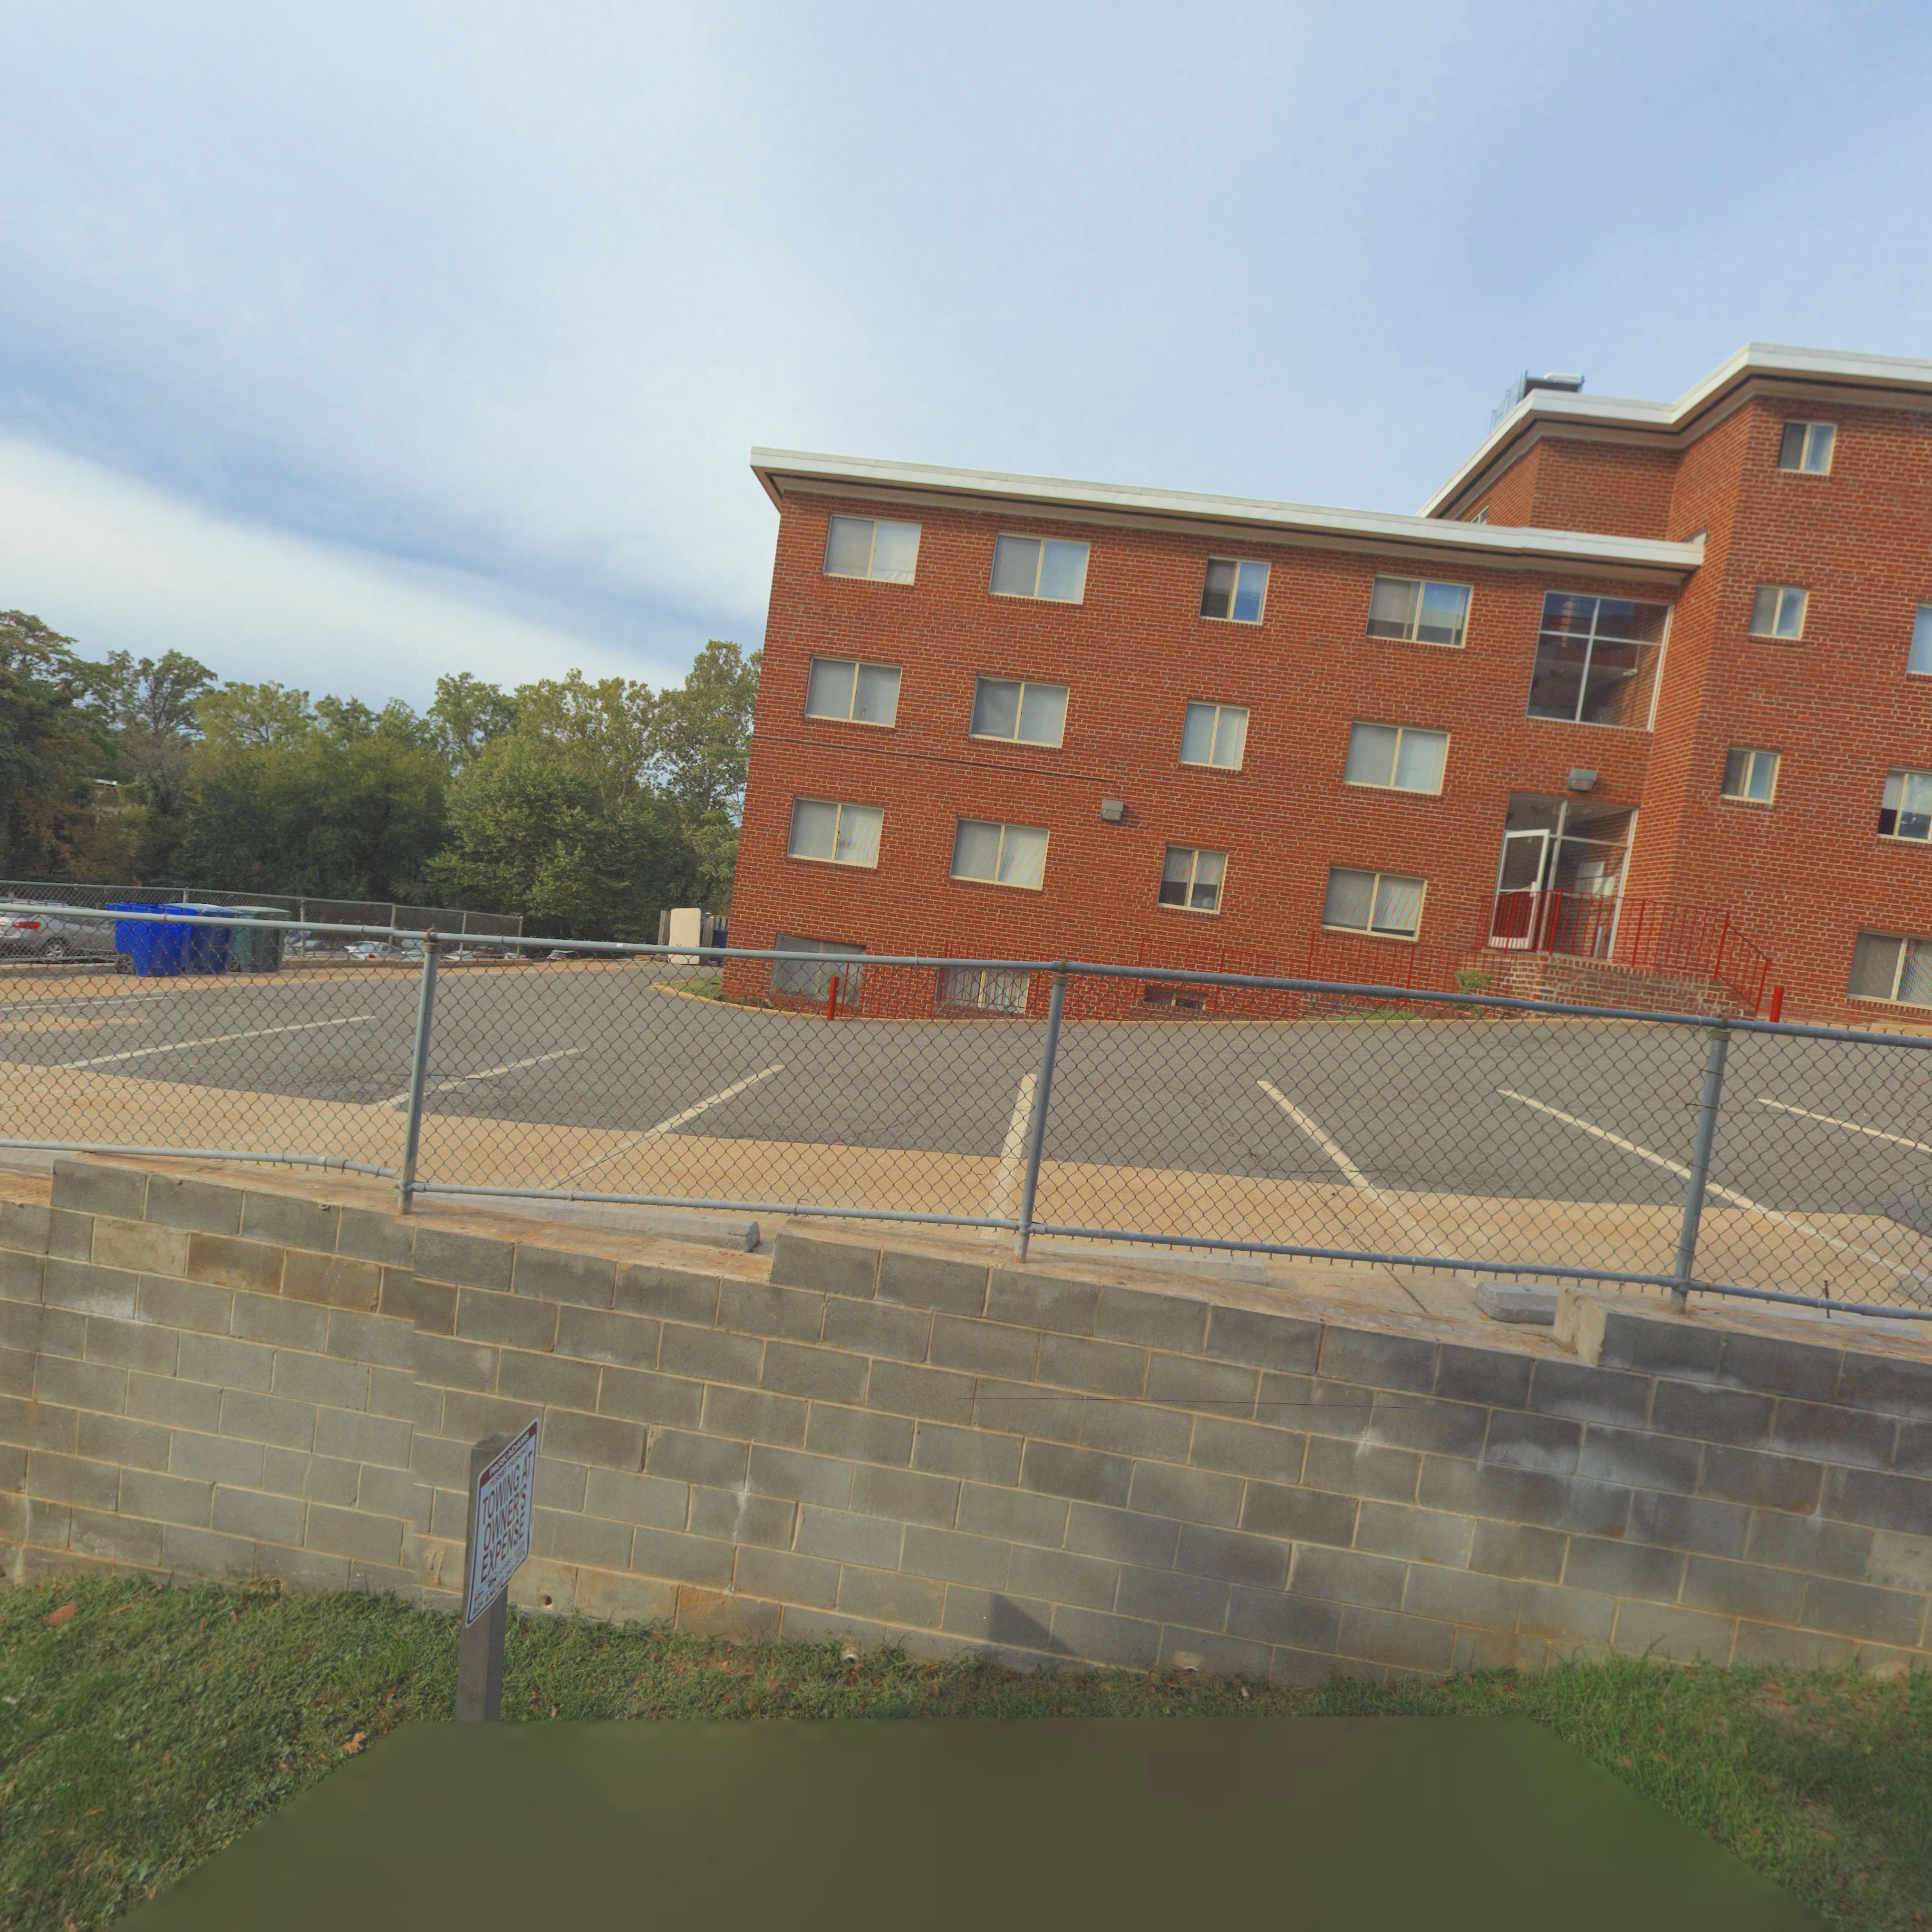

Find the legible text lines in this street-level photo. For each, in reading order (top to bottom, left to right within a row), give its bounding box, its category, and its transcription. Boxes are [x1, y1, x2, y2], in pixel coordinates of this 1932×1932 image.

[480, 1510, 524, 1585] None: EXPENSE
[483, 1480, 527, 1552] None: OWNER'S
[482, 1448, 533, 1527] None: TOWING AT
[489, 1442, 529, 1490] None: PERMITPARKING
[489, 1430, 530, 1479] None: PARK ADAMS
[471, 1596, 484, 1618] None: ADI